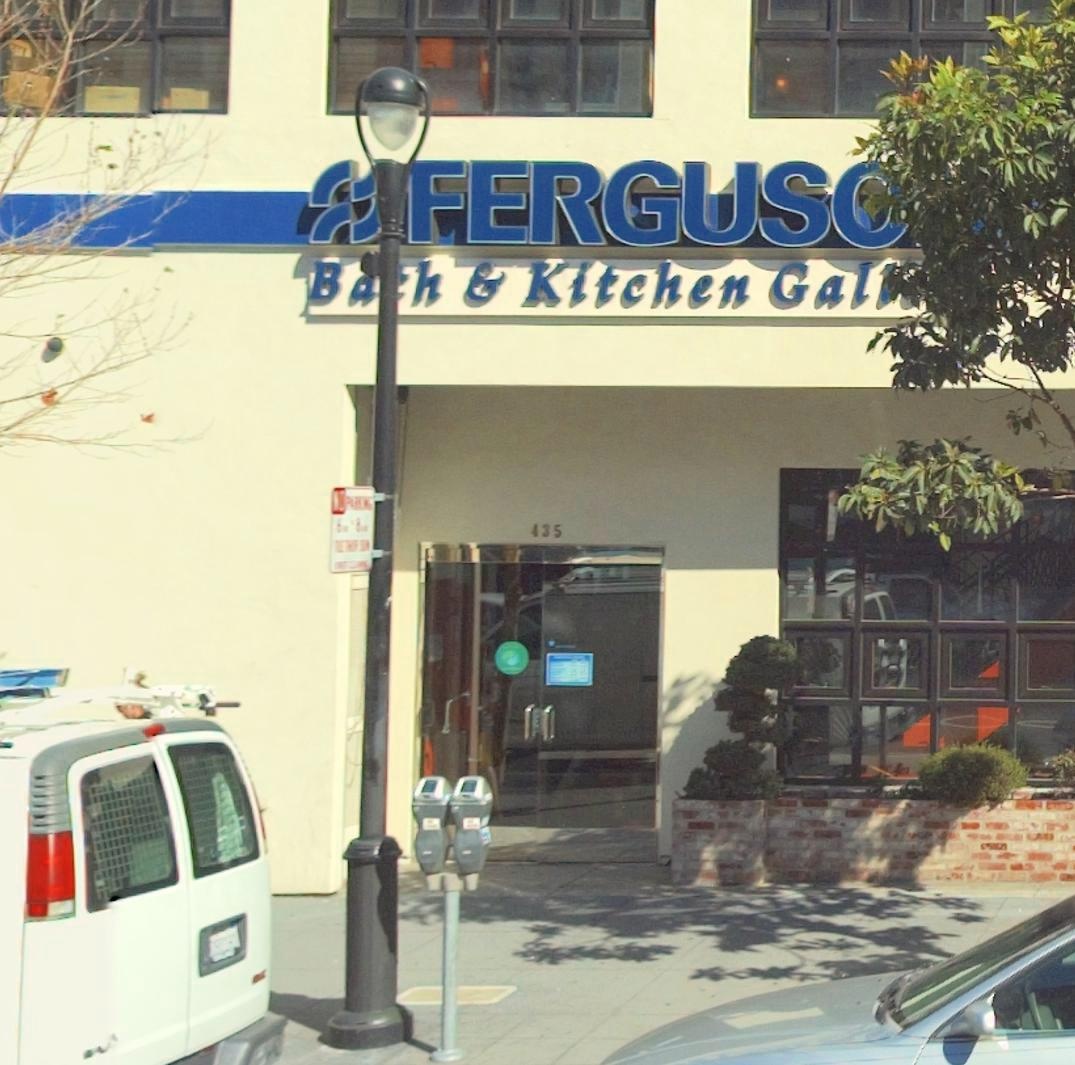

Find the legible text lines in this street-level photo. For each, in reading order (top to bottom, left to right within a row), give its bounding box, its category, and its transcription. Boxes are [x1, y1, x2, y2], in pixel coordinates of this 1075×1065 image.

[402, 155, 917, 253] BusinessName: FERGUS*
[305, 256, 906, 307] BusinessName: Ba*h & Kitchen Gal*
[331, 489, 374, 513] None: NO PARKING
[530, 522, 564, 540] StreetNumber: 435